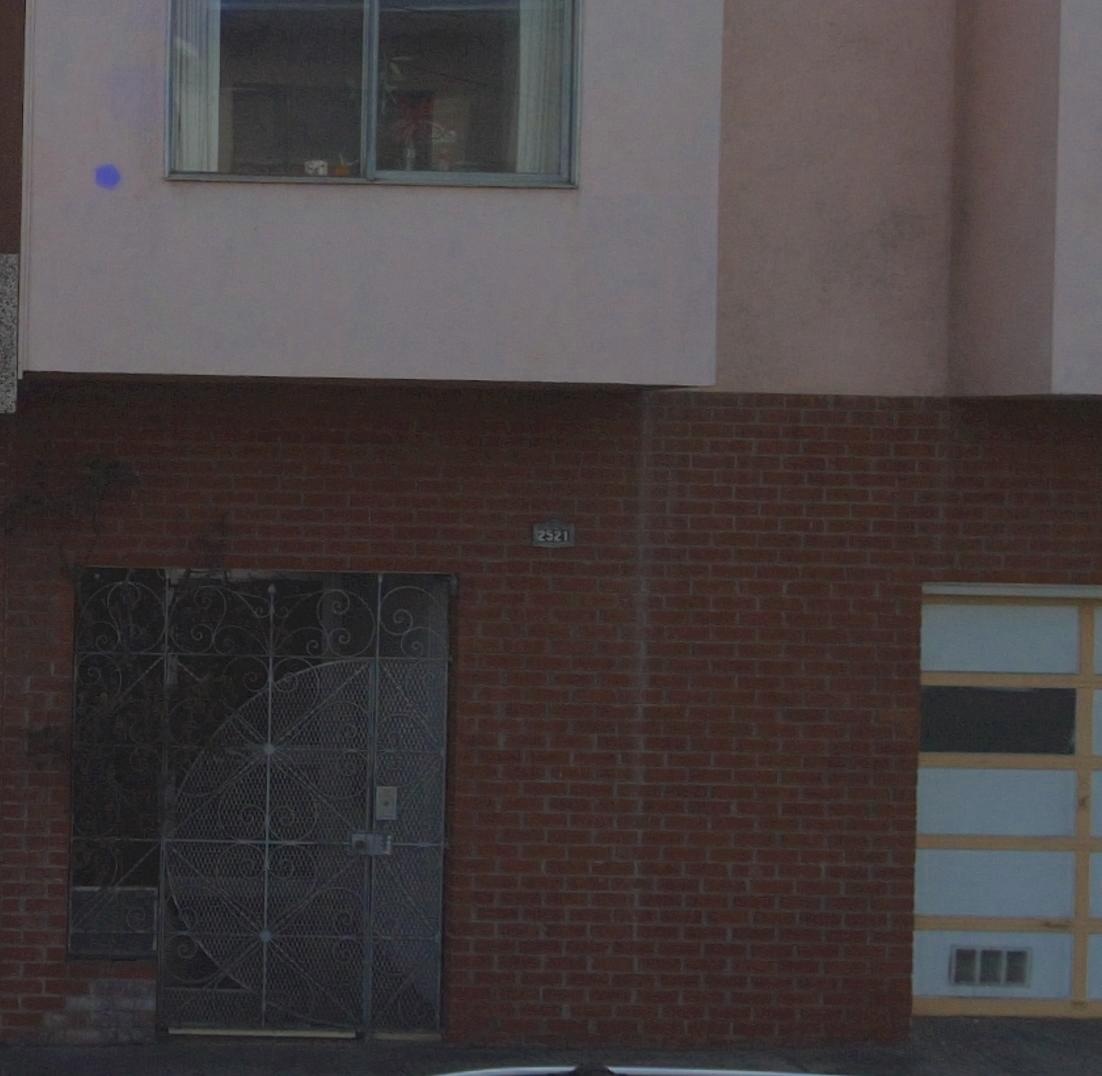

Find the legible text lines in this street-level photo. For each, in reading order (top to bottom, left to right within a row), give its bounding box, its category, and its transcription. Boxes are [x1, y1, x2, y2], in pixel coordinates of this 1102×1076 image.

[536, 529, 569, 542] StreetNumber: 2521